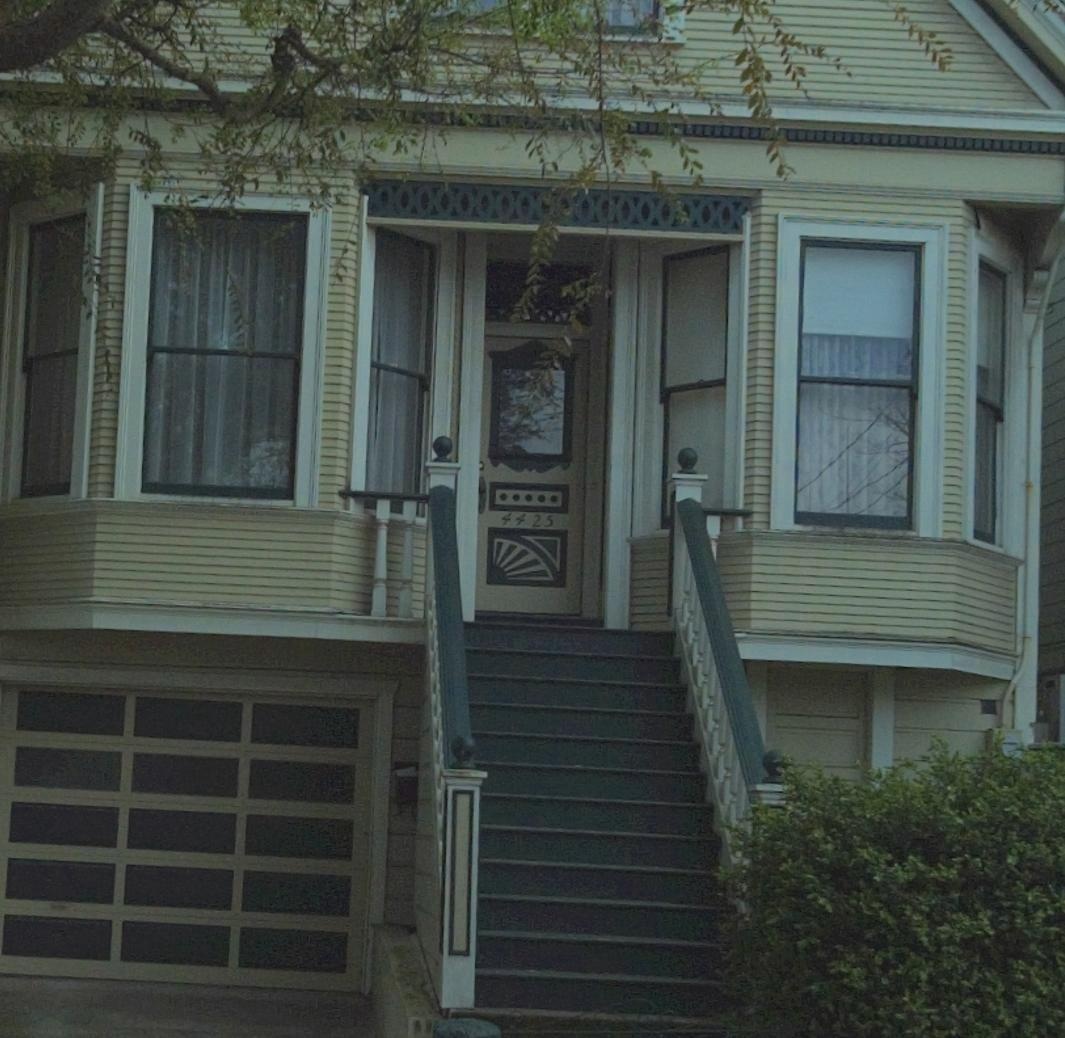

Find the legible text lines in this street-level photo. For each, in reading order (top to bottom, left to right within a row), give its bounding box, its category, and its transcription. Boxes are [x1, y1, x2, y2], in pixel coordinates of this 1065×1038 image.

[500, 512, 555, 528] StreetNumber: 4425